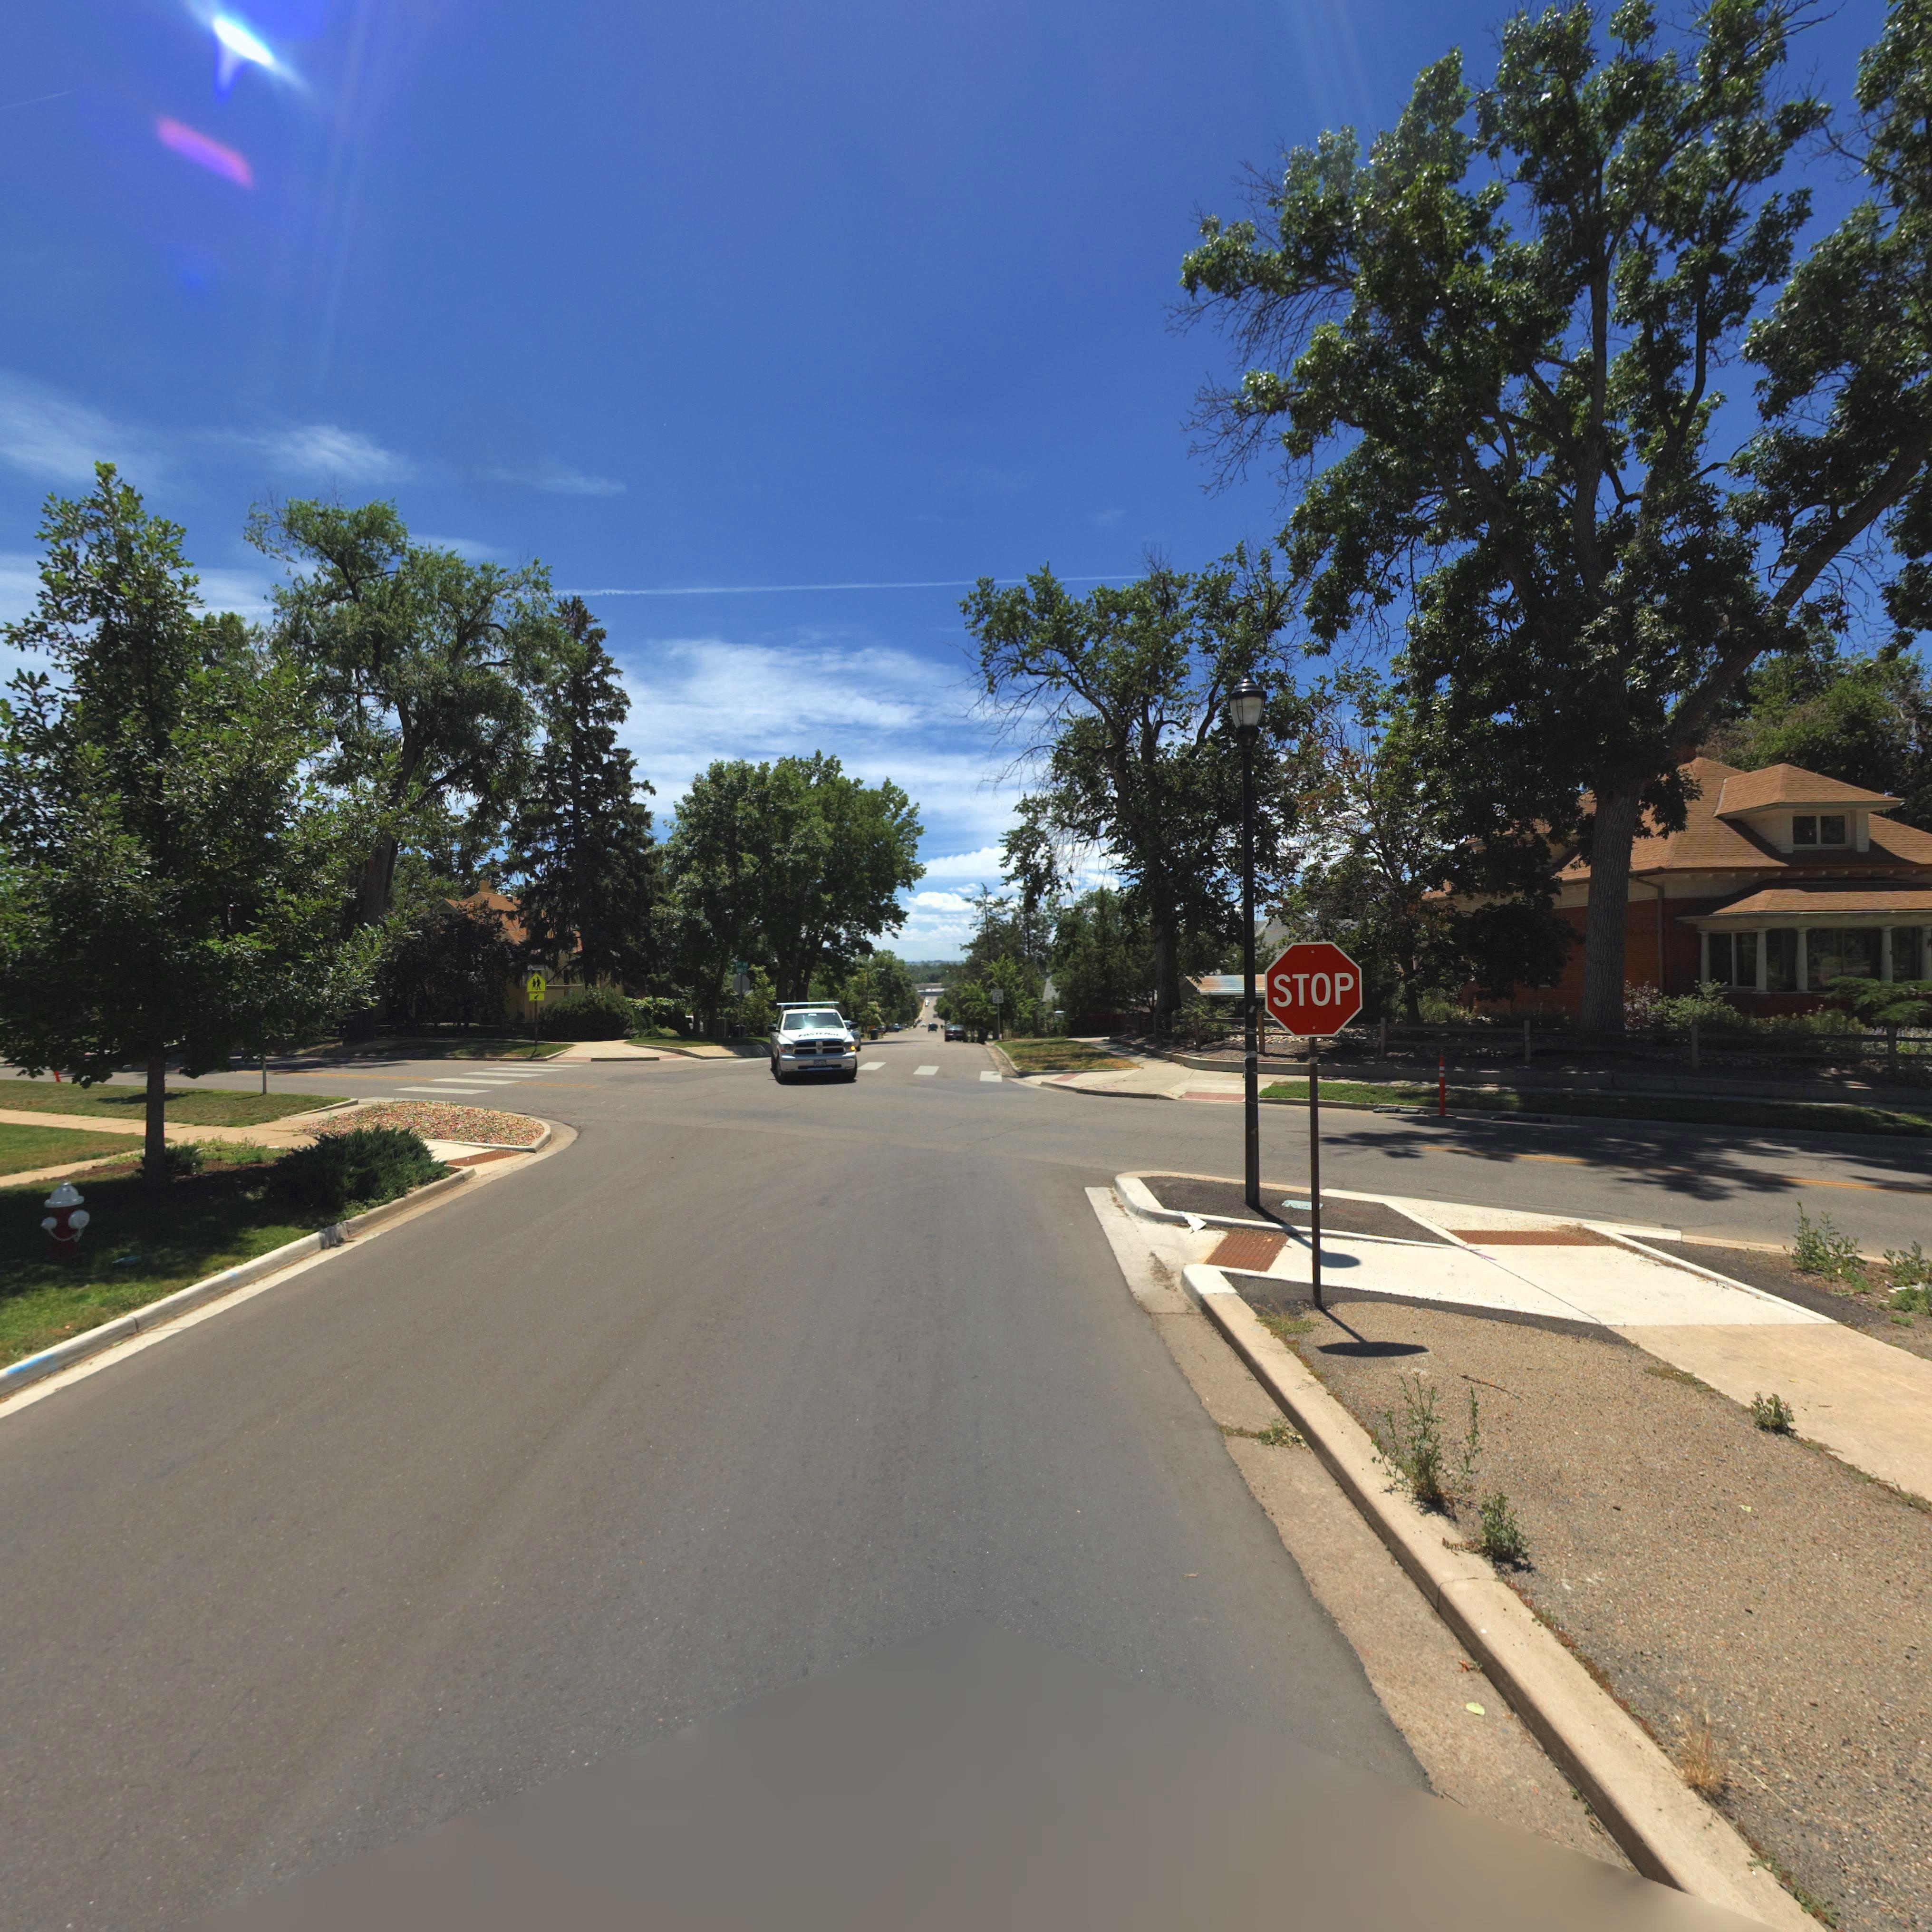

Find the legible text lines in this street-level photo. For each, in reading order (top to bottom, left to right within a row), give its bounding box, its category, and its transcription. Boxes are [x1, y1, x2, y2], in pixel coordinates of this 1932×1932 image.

[735, 962, 748, 967] StreetName: 3** AV